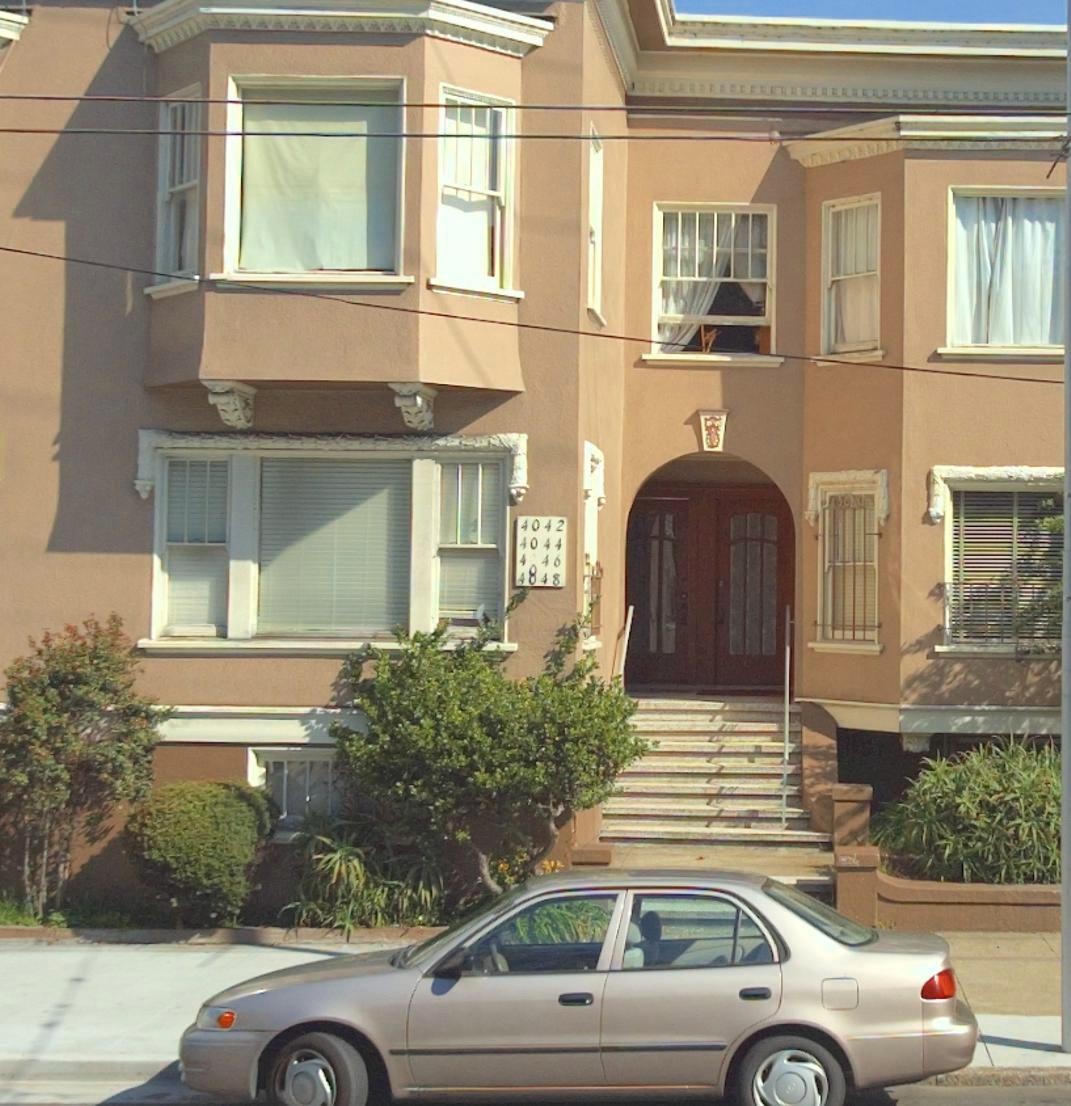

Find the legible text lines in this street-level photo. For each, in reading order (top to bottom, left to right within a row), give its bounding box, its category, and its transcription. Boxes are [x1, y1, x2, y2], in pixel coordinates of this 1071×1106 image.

[519, 517, 565, 533] StreetNumber: 4042
[516, 535, 564, 552] StreetNumber: 4044
[517, 553, 562, 575] StreetNumber: 4046
[516, 572, 563, 586] StreetNumber: 4048